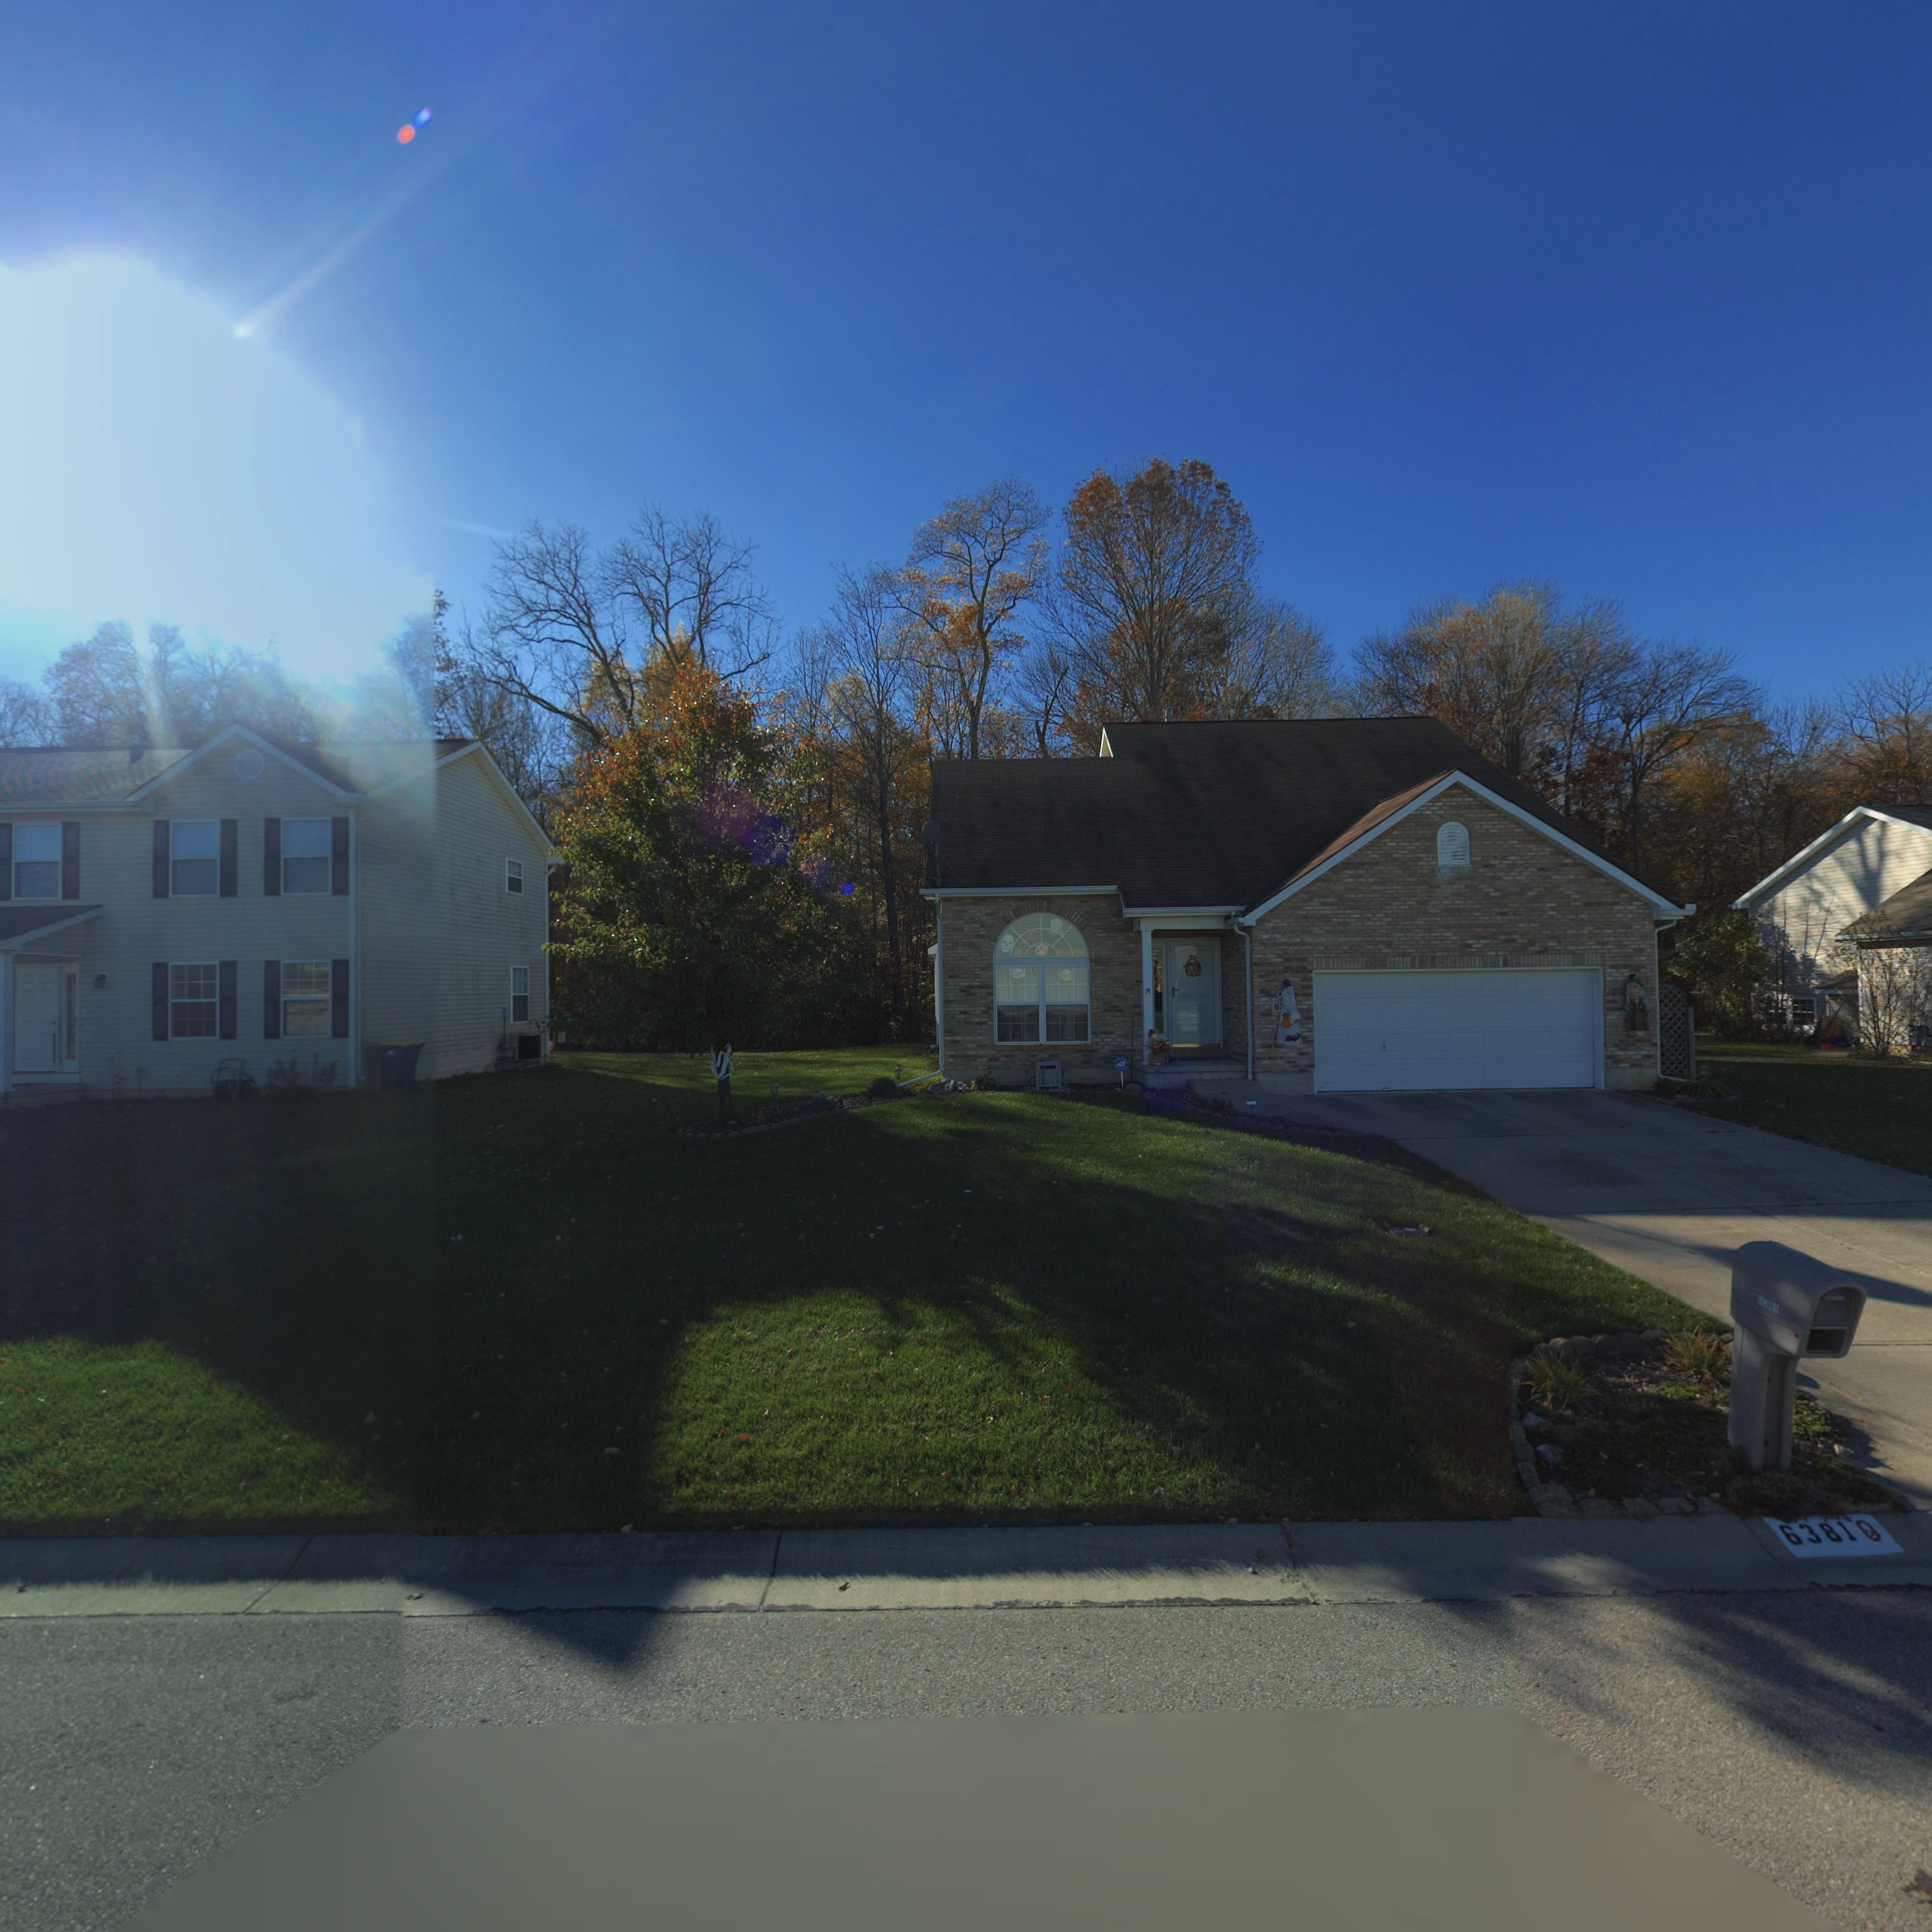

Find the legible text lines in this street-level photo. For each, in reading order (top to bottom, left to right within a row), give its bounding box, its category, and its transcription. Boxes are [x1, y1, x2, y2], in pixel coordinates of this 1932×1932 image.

[1274, 1003, 1279, 1010] StreetNumber: 6
[1116, 1061, 1126, 1067] None: ADT
[1758, 1294, 1779, 1314] StreetNumber: 6381
[1776, 1520, 1859, 1546] StreetNumber: 6381